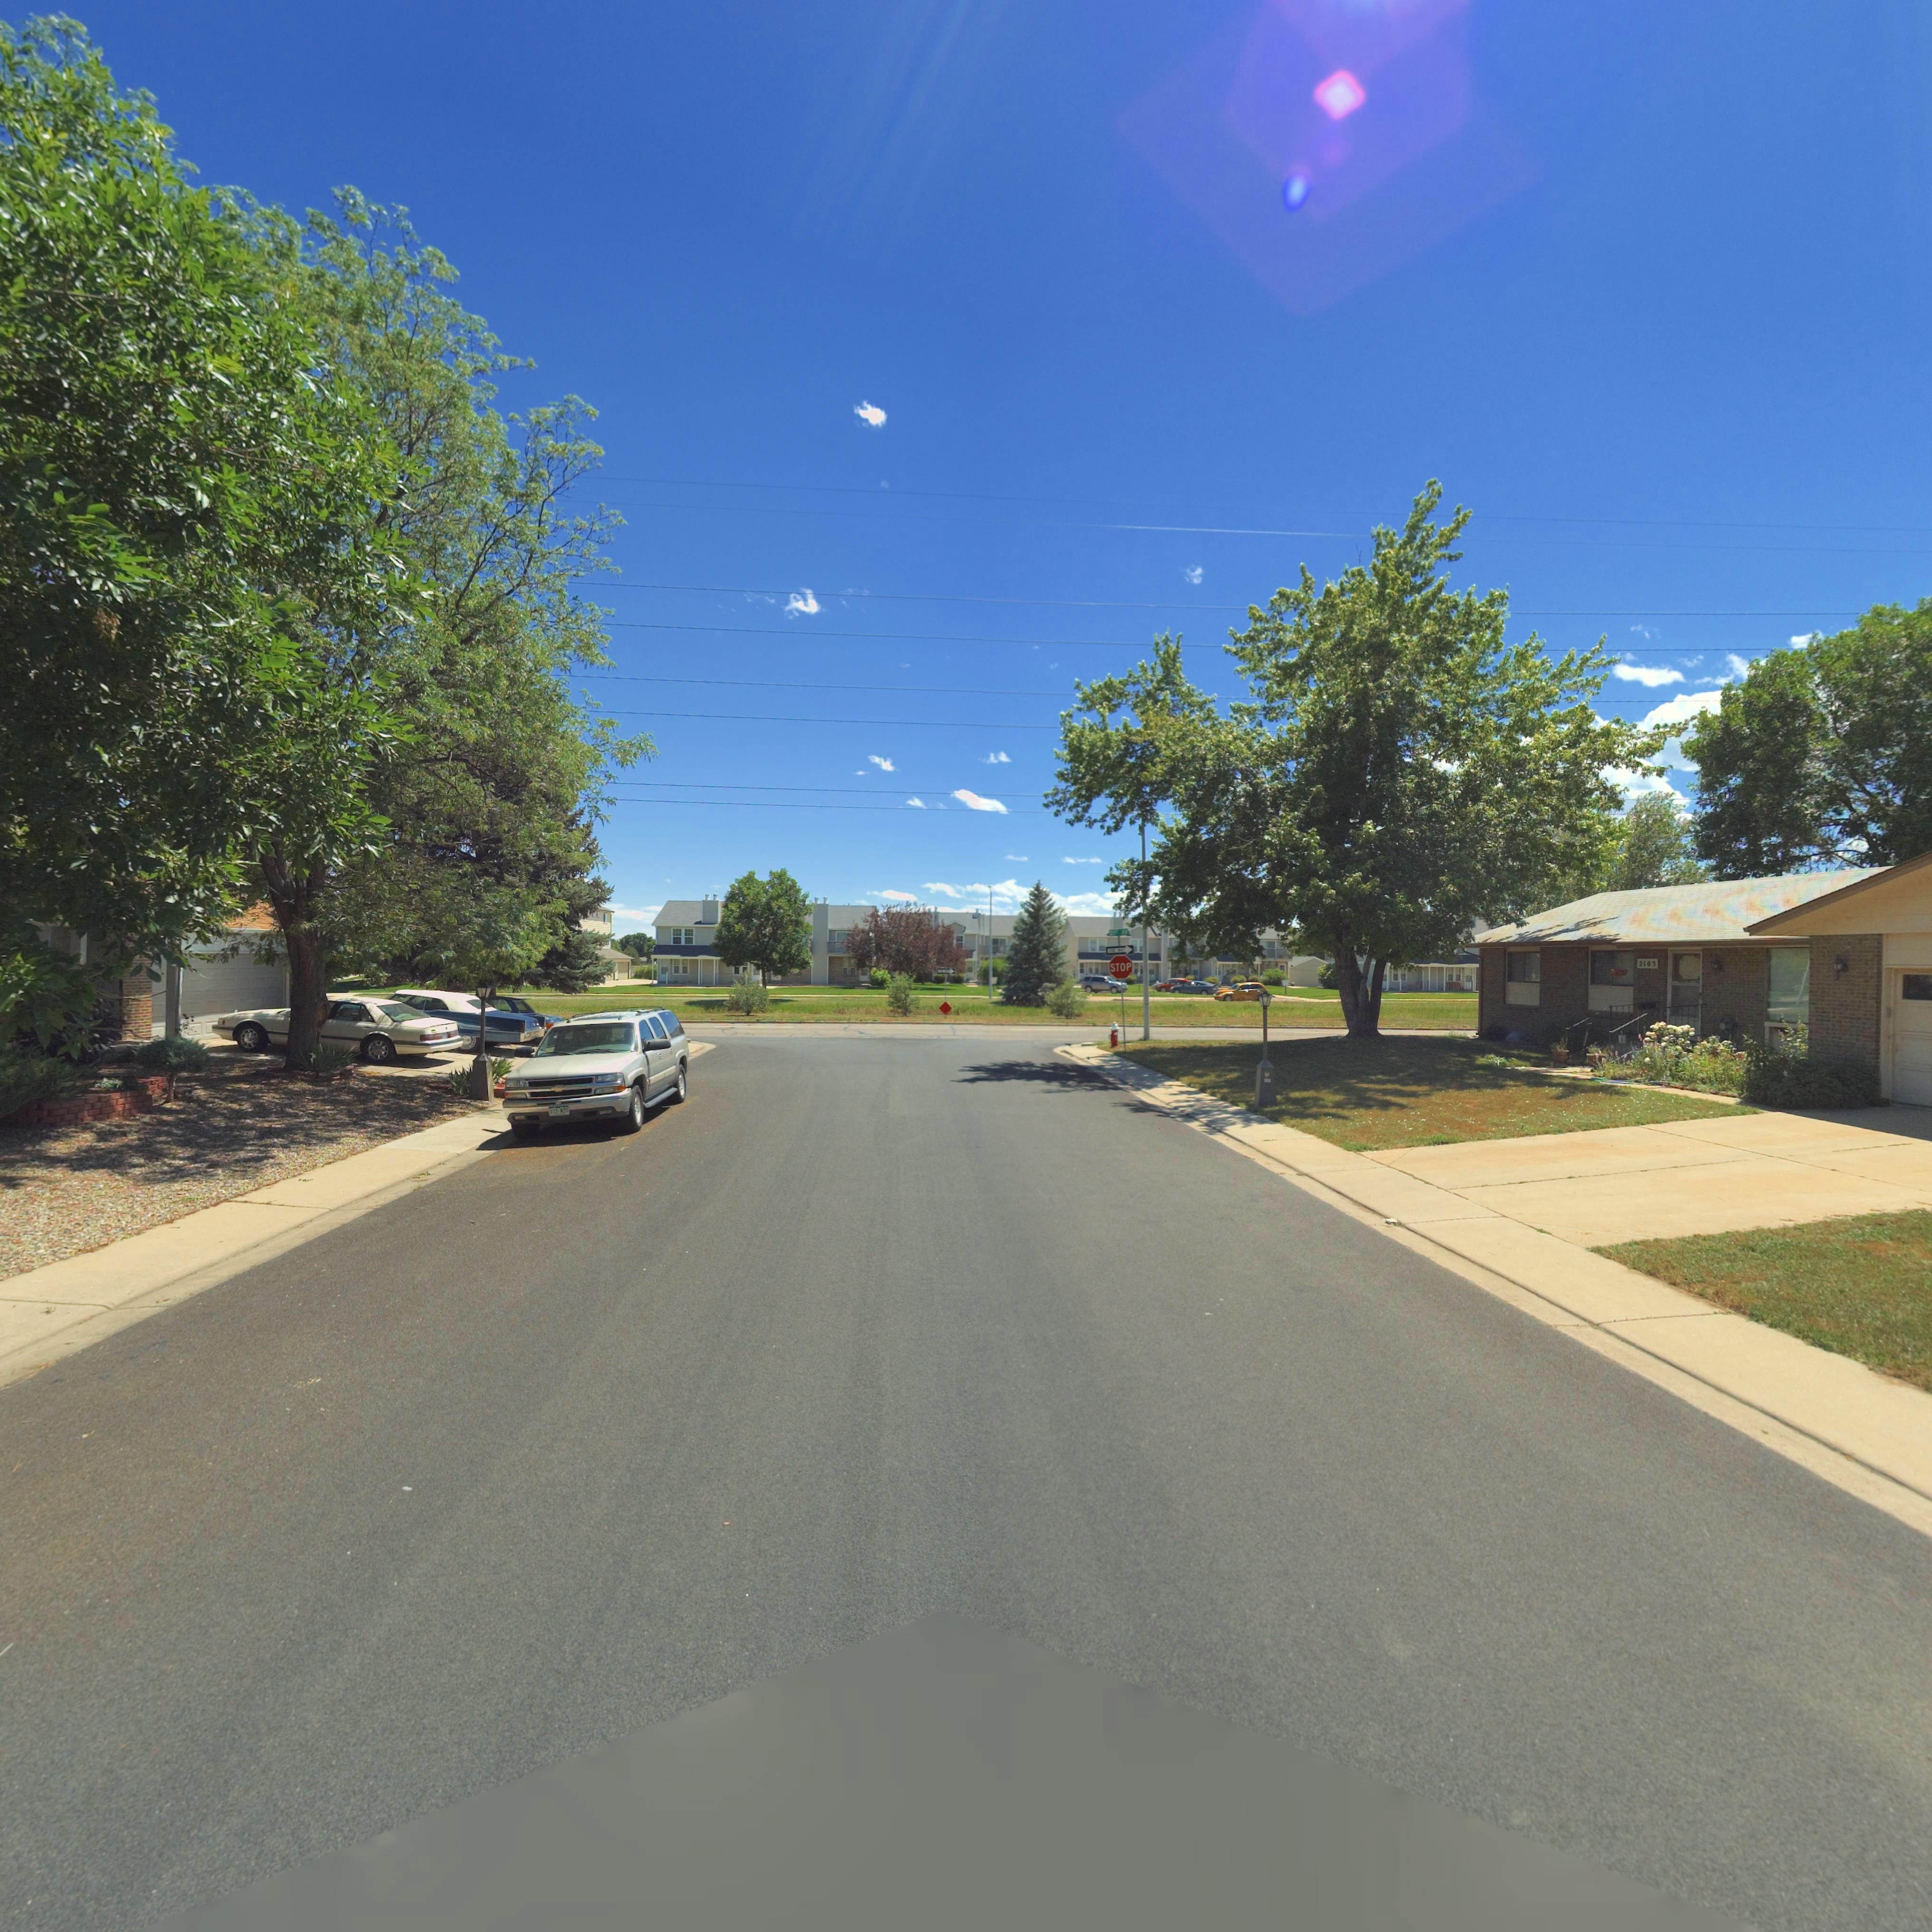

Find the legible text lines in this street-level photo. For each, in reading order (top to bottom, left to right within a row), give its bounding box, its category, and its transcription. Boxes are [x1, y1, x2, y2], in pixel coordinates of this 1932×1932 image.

[1109, 929, 1128, 936] StreetName: 21** AV
[1638, 960, 1656, 967] StreetNumber: 2103